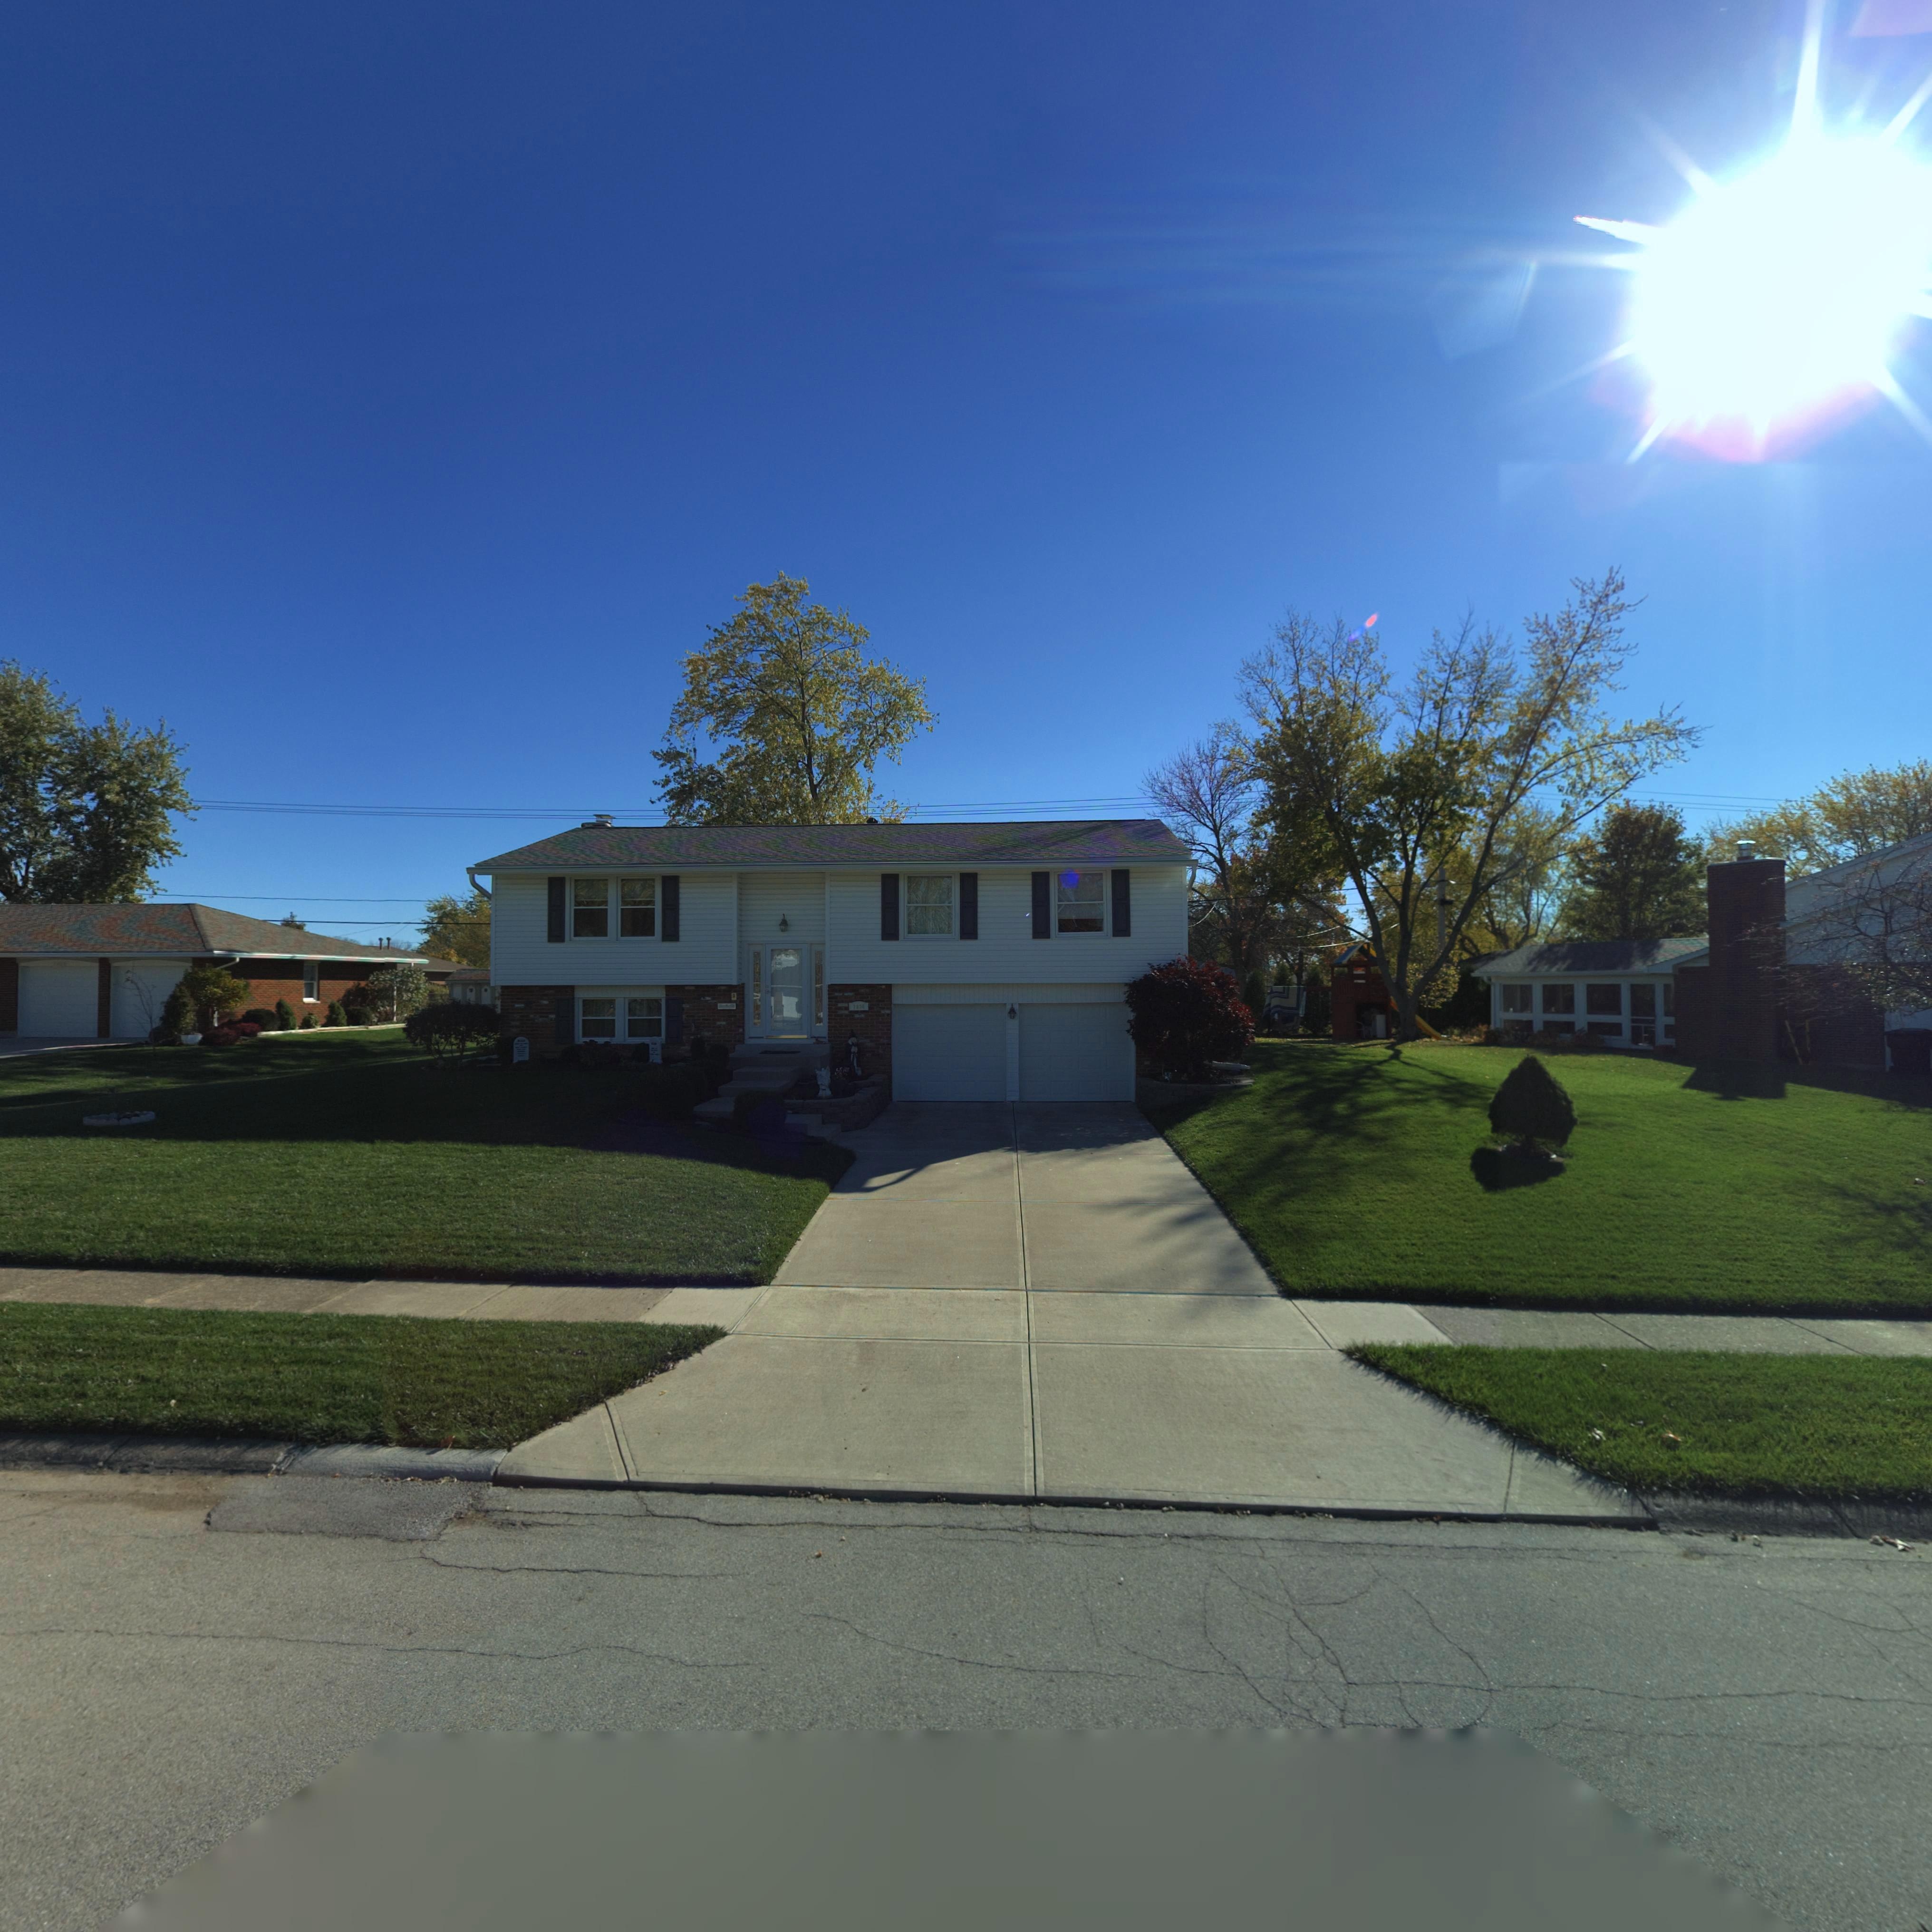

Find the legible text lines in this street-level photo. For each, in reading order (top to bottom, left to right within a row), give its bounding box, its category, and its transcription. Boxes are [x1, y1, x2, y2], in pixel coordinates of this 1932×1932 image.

[851, 1003, 866, 1011] StreetNumber: 7030